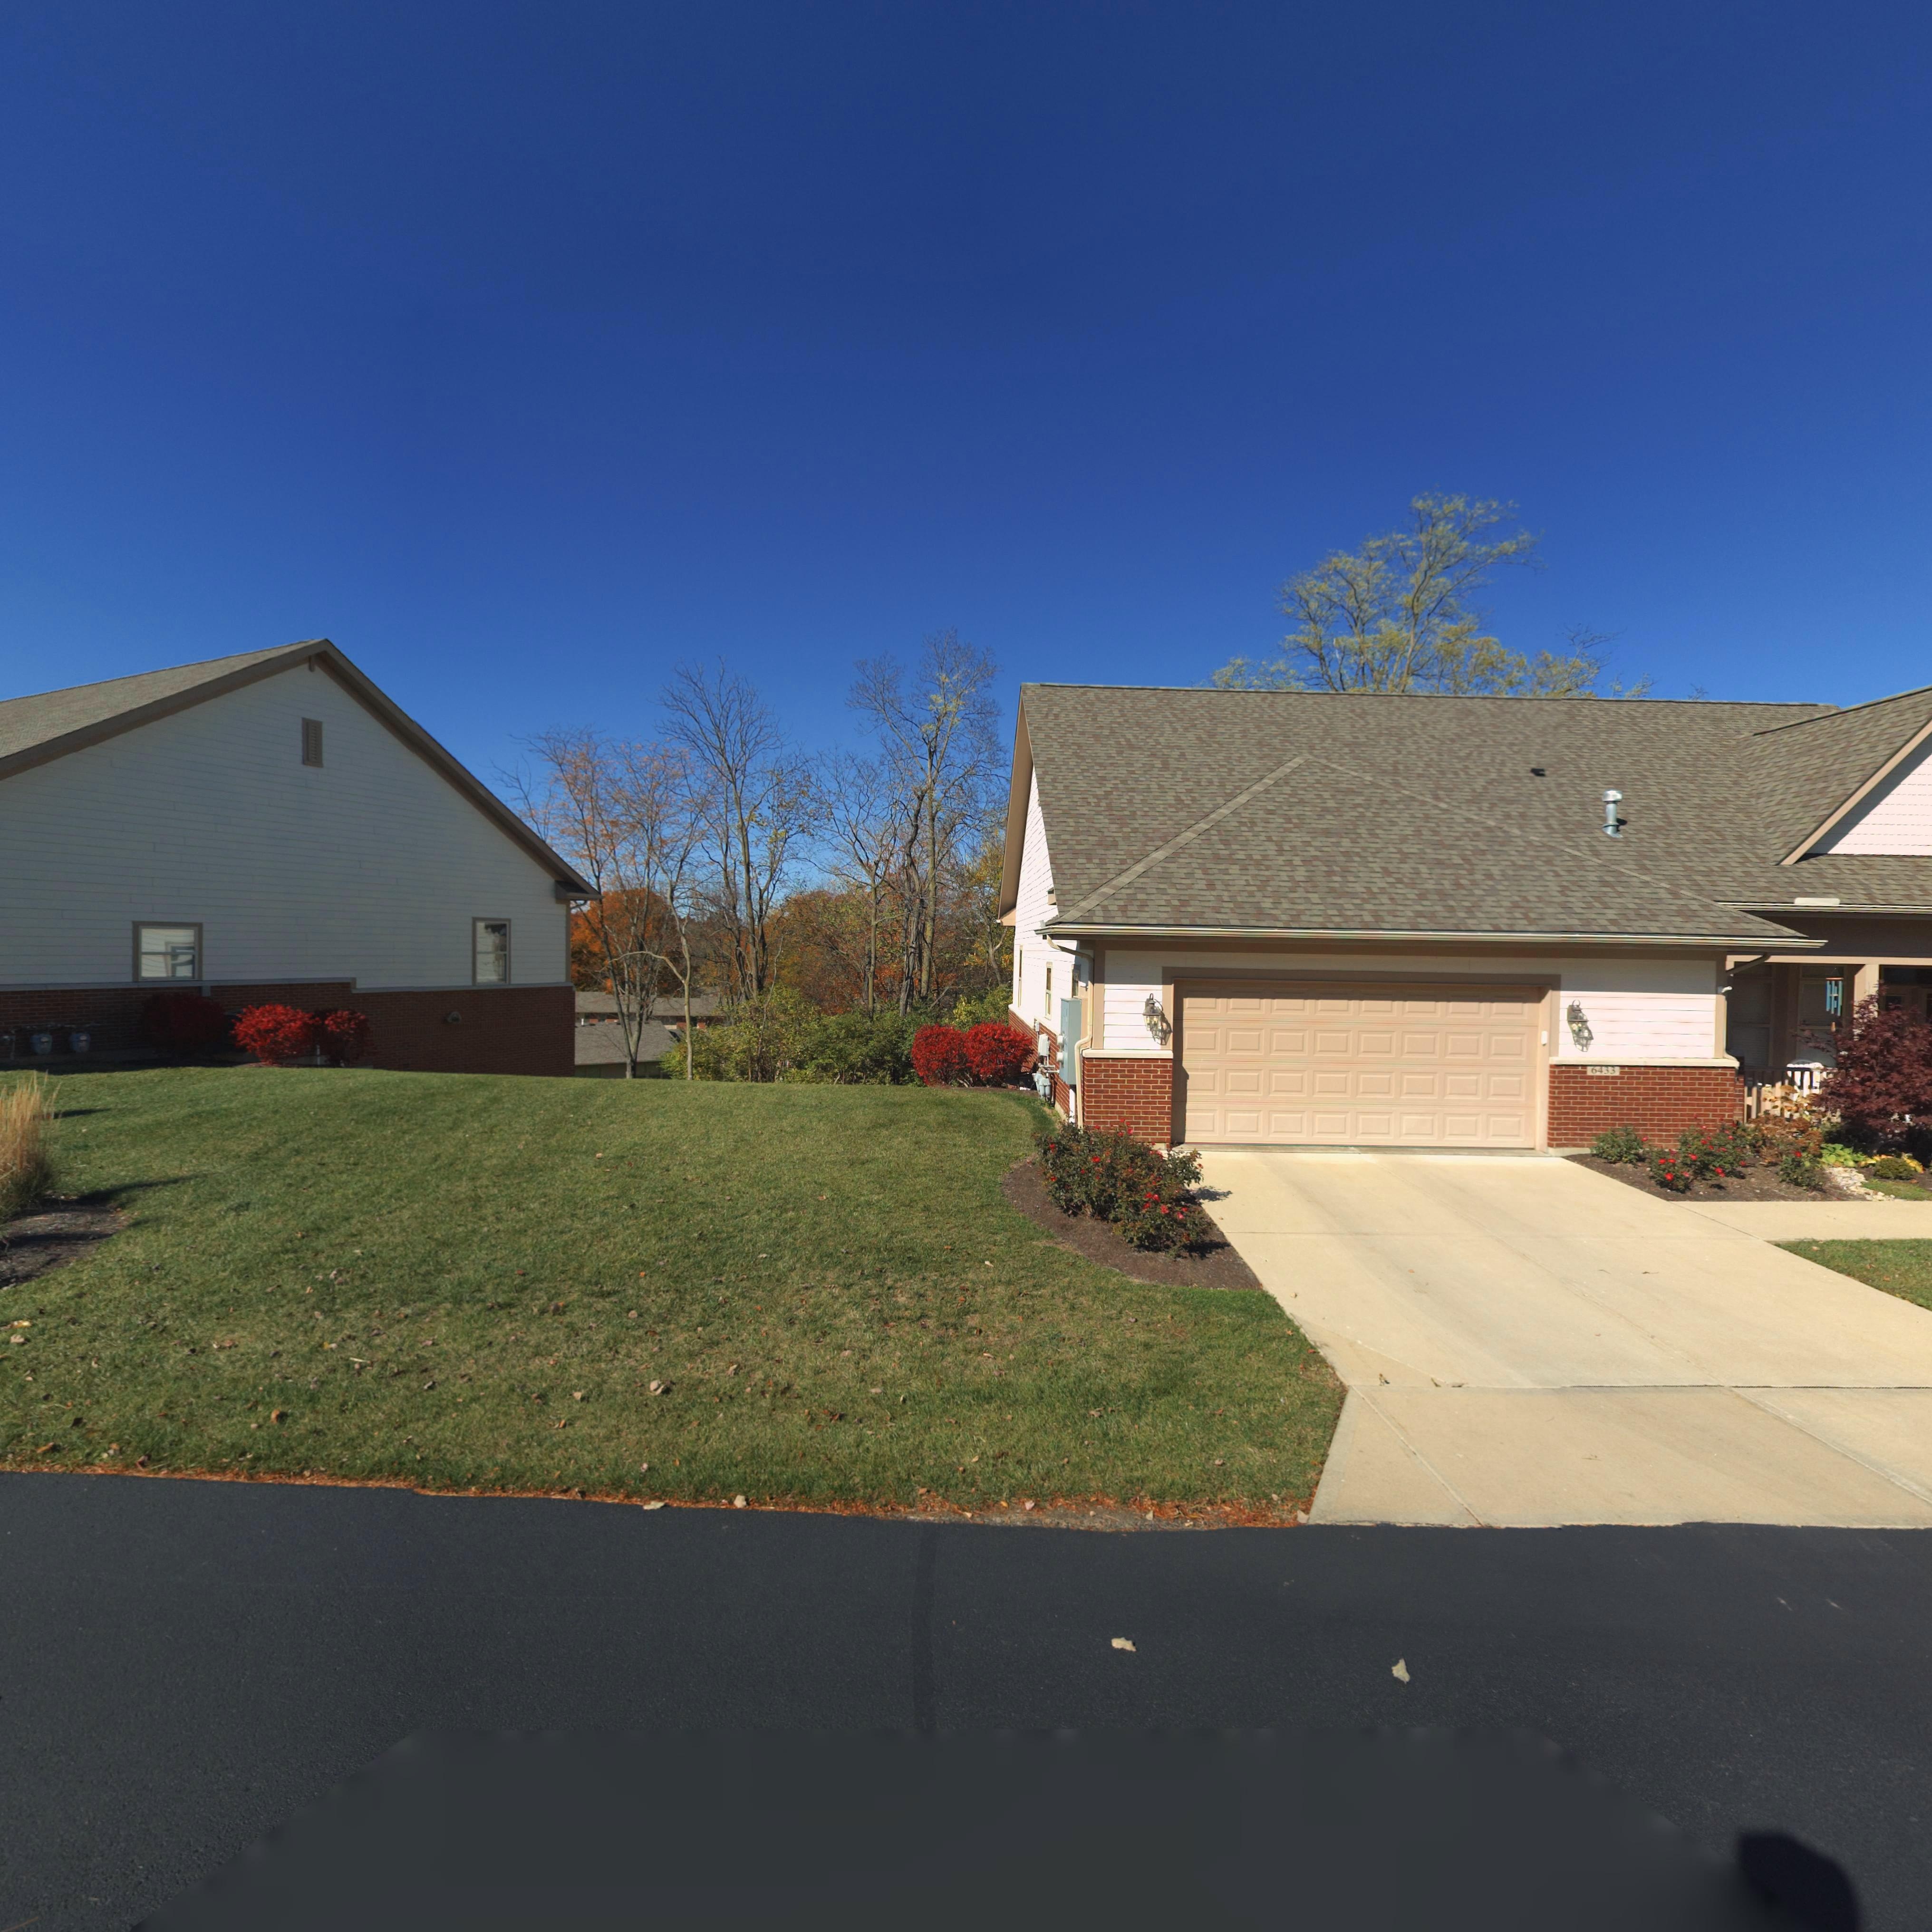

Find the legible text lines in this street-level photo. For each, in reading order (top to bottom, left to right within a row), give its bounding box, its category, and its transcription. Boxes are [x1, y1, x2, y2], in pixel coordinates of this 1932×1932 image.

[1590, 1065, 1616, 1075] StreetNumber: 6433